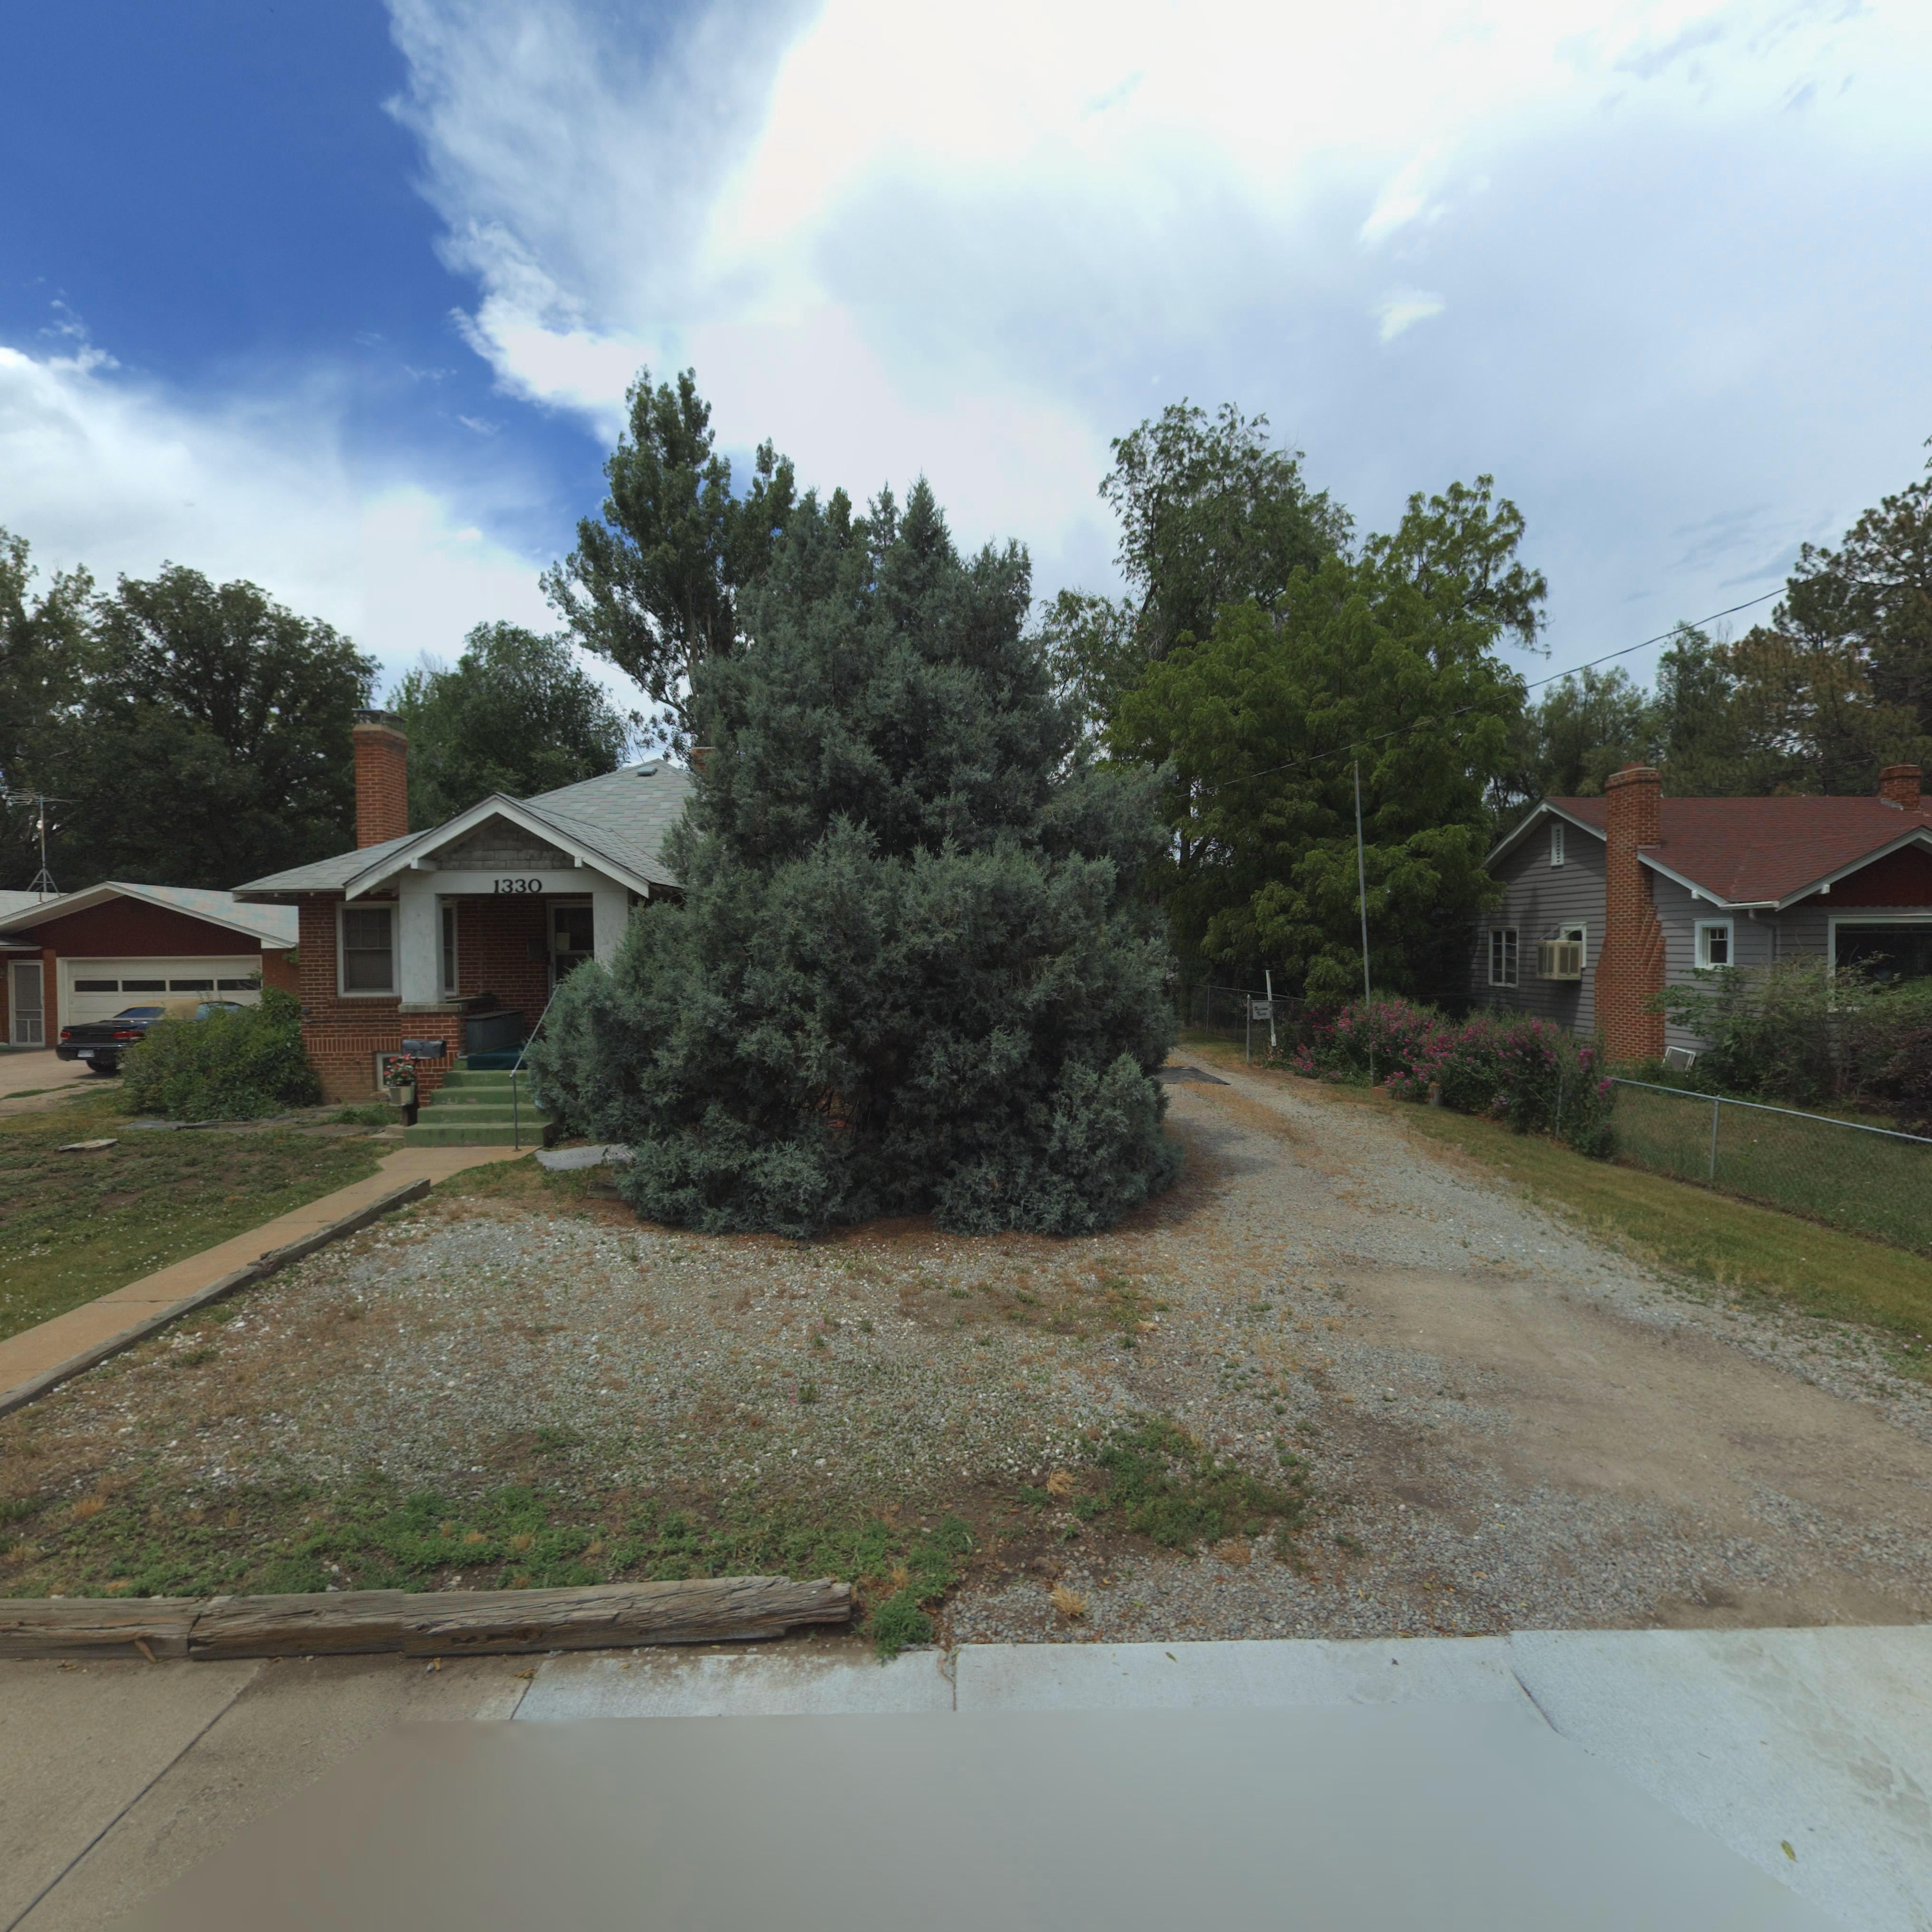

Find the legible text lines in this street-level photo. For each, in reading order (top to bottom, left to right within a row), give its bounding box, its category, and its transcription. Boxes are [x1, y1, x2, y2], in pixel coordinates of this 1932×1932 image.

[493, 878, 542, 894] StreetNumber: 1330